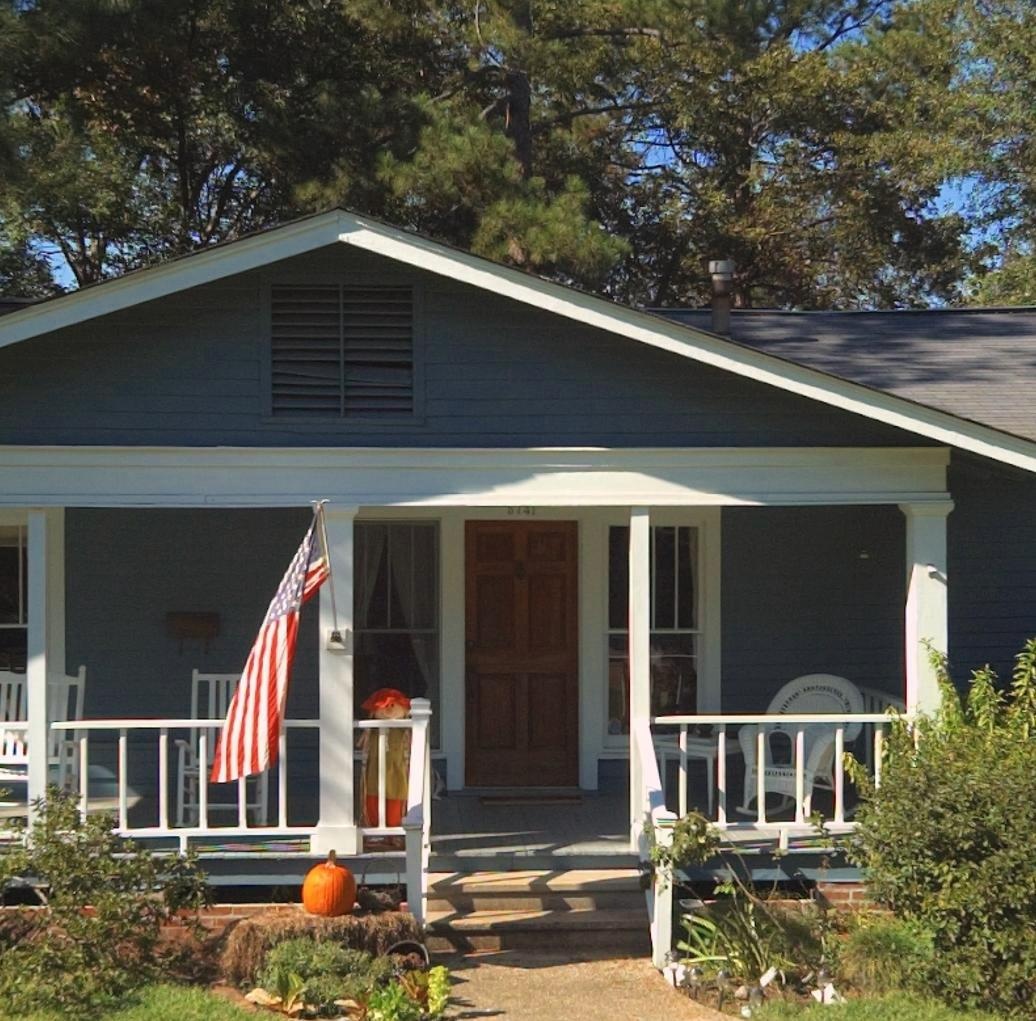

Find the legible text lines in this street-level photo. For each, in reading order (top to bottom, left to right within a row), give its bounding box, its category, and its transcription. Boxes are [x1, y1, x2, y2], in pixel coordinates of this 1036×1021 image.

[507, 505, 536, 516] StreetNumber: 5741